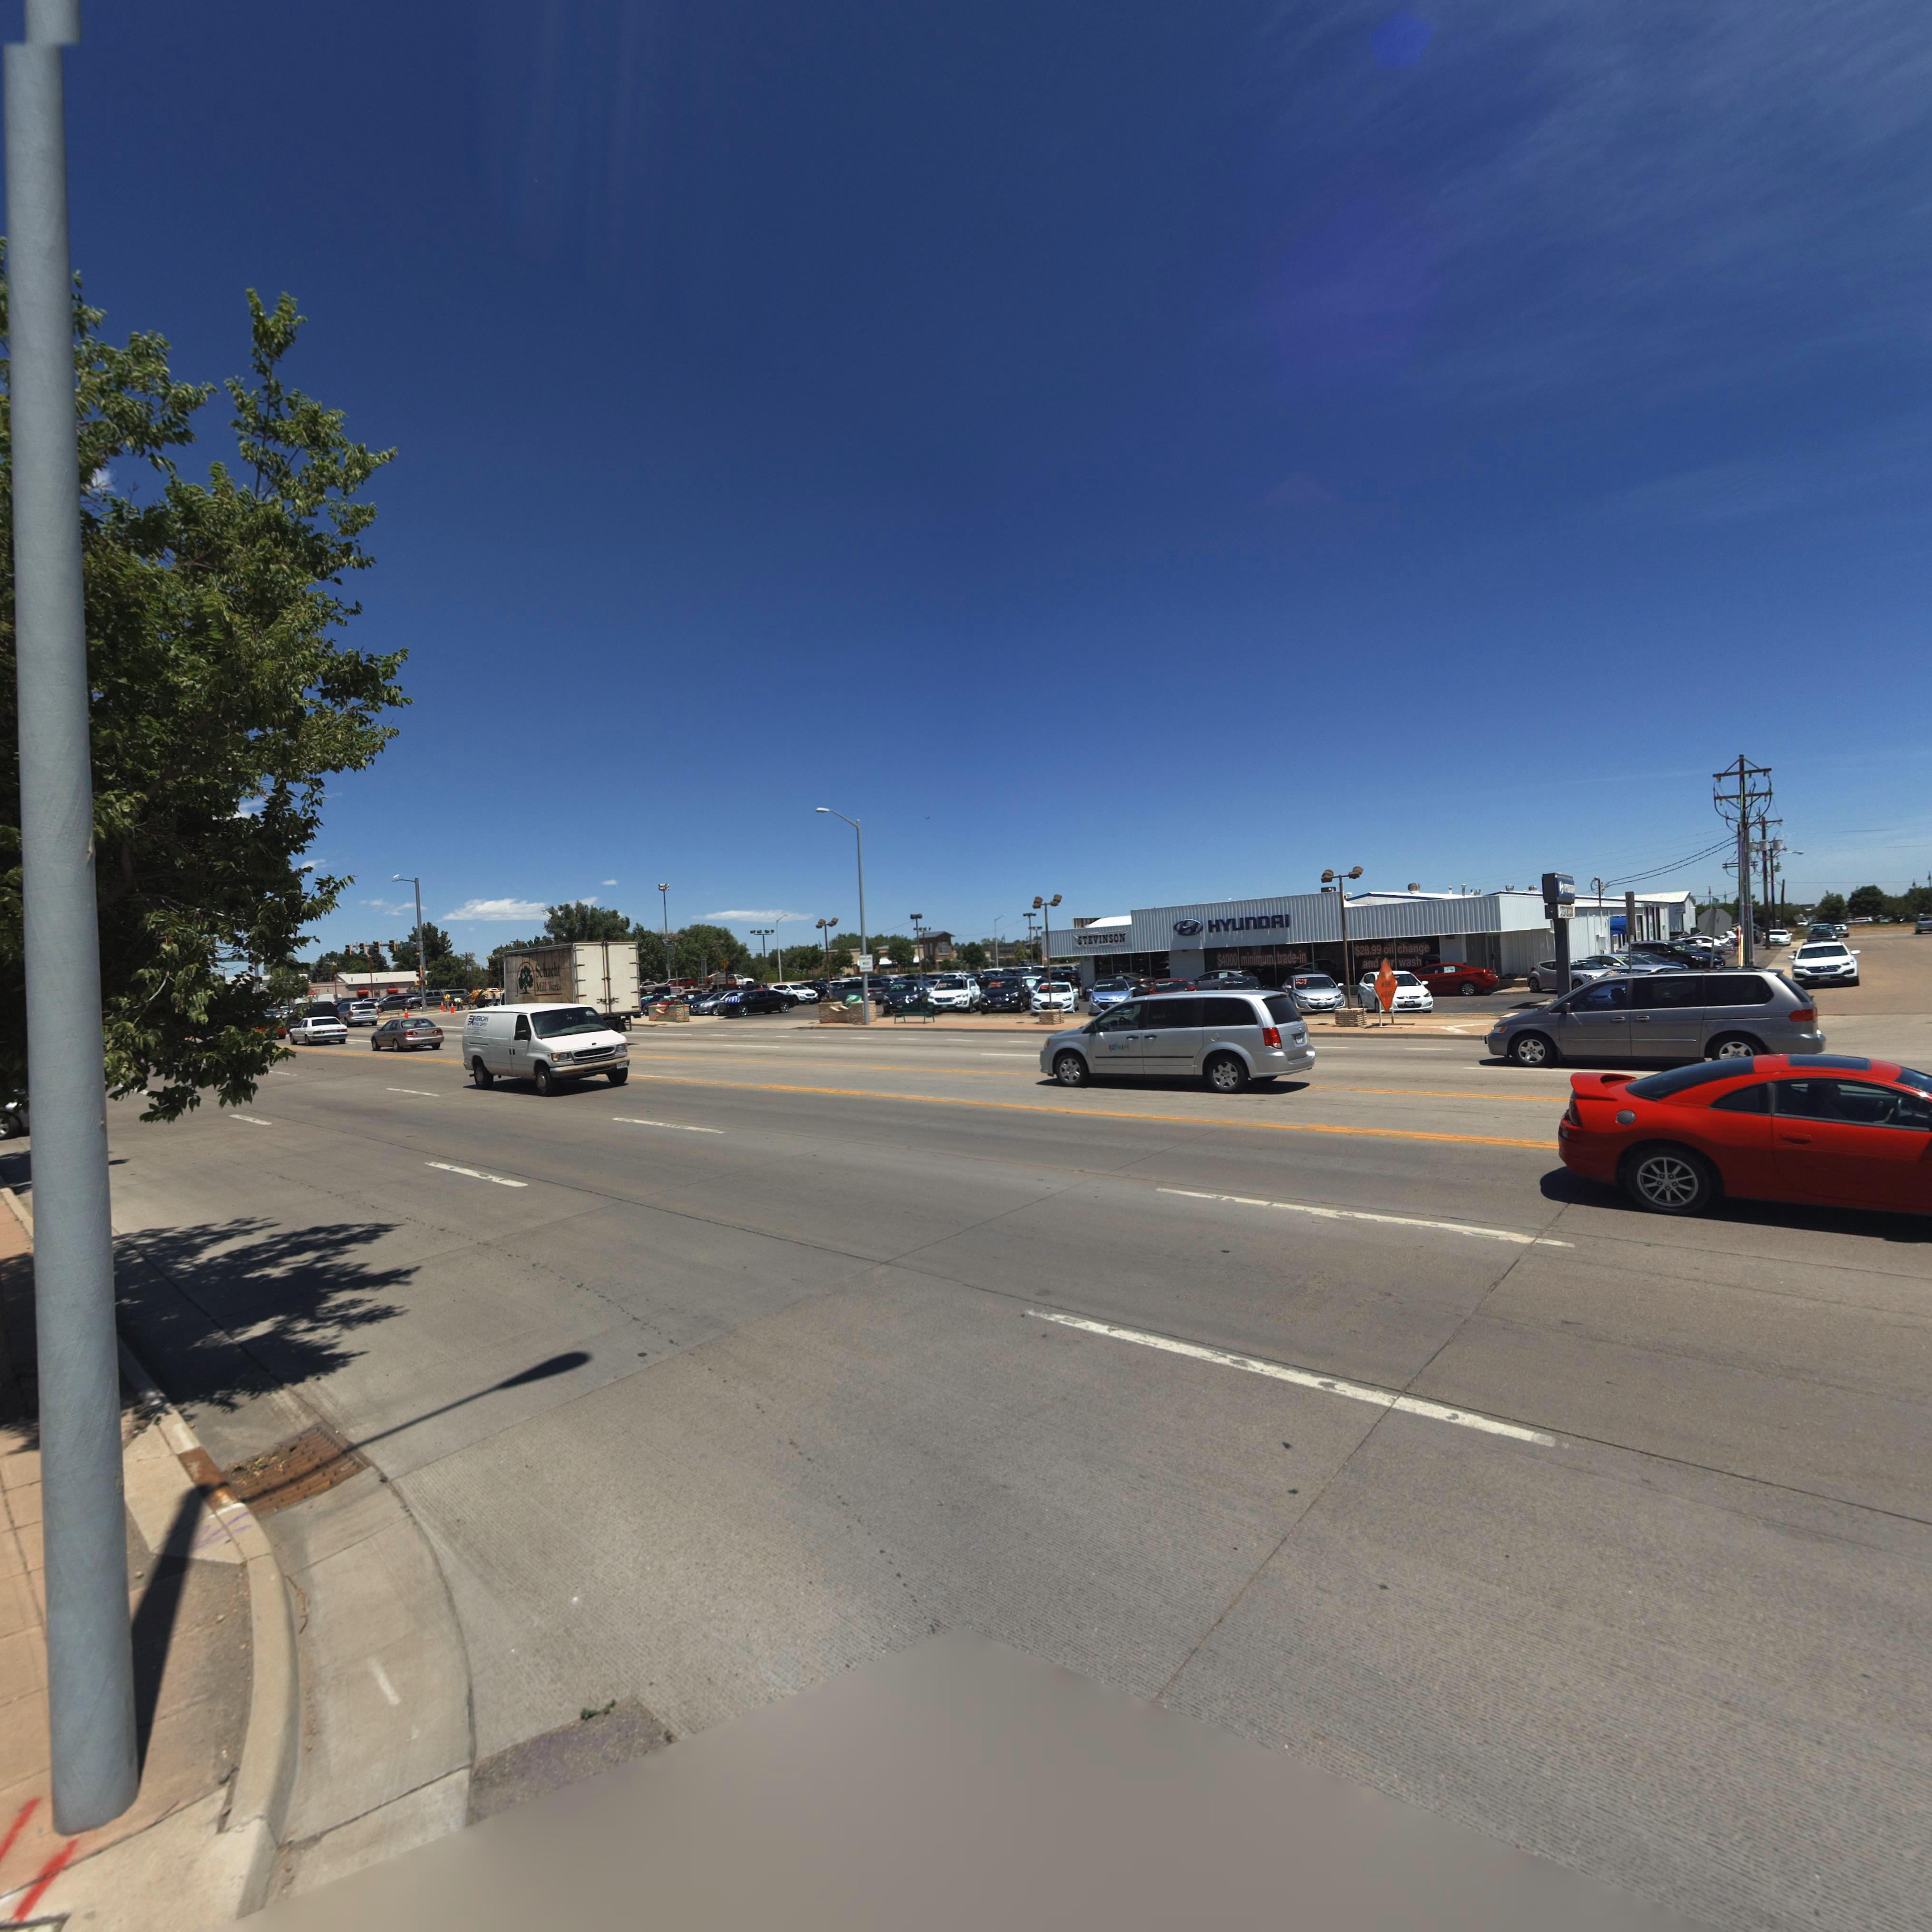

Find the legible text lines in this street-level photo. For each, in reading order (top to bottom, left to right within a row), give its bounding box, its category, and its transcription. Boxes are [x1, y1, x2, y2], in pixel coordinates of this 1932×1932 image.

[1207, 913, 1290, 933] BusinessName: HYUnDAI
[1077, 933, 1126, 945] BusinessName: STEVINSON